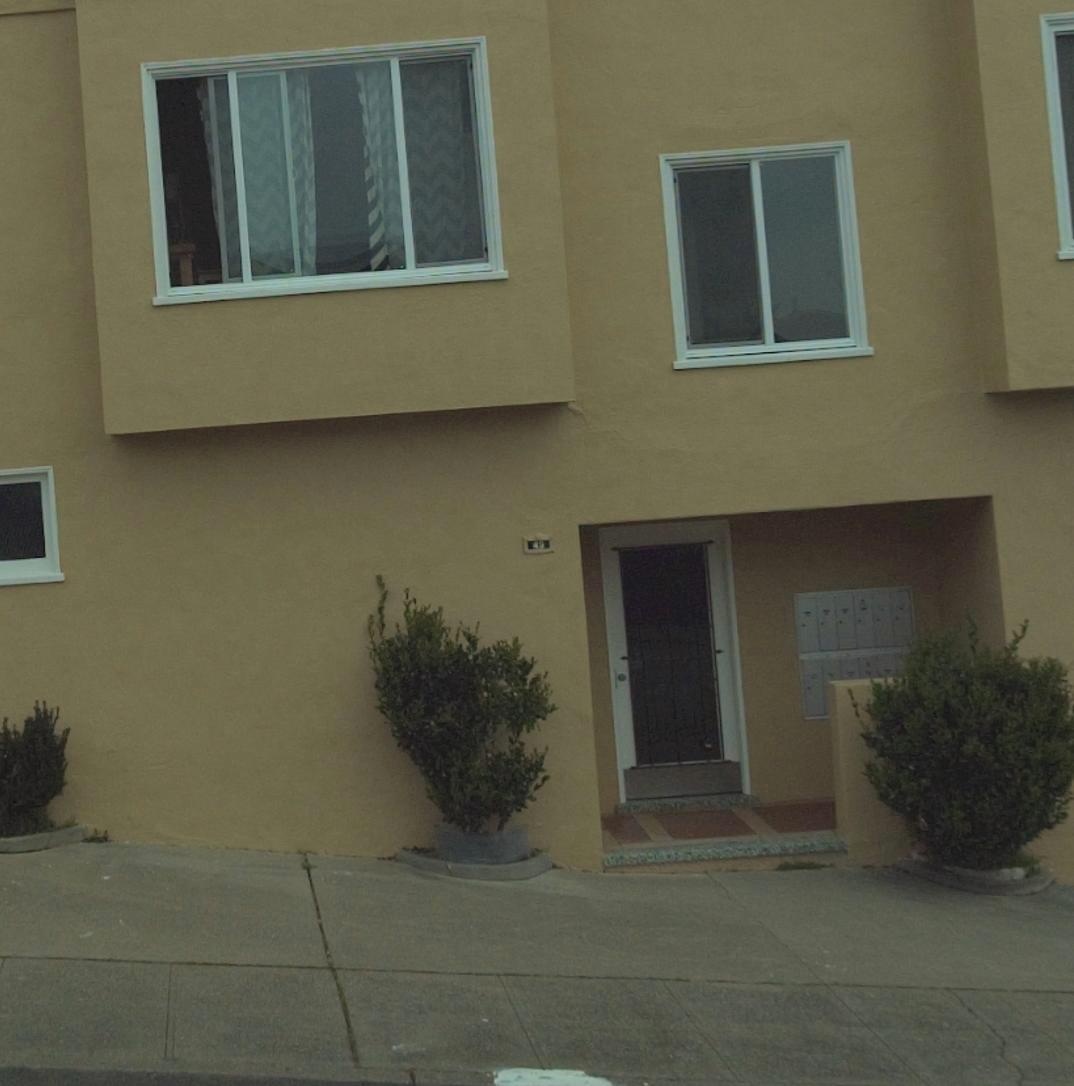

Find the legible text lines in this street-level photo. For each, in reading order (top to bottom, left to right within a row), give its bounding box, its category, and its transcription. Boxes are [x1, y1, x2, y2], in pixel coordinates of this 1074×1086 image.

[532, 539, 546, 550] StreetNumber: 4*